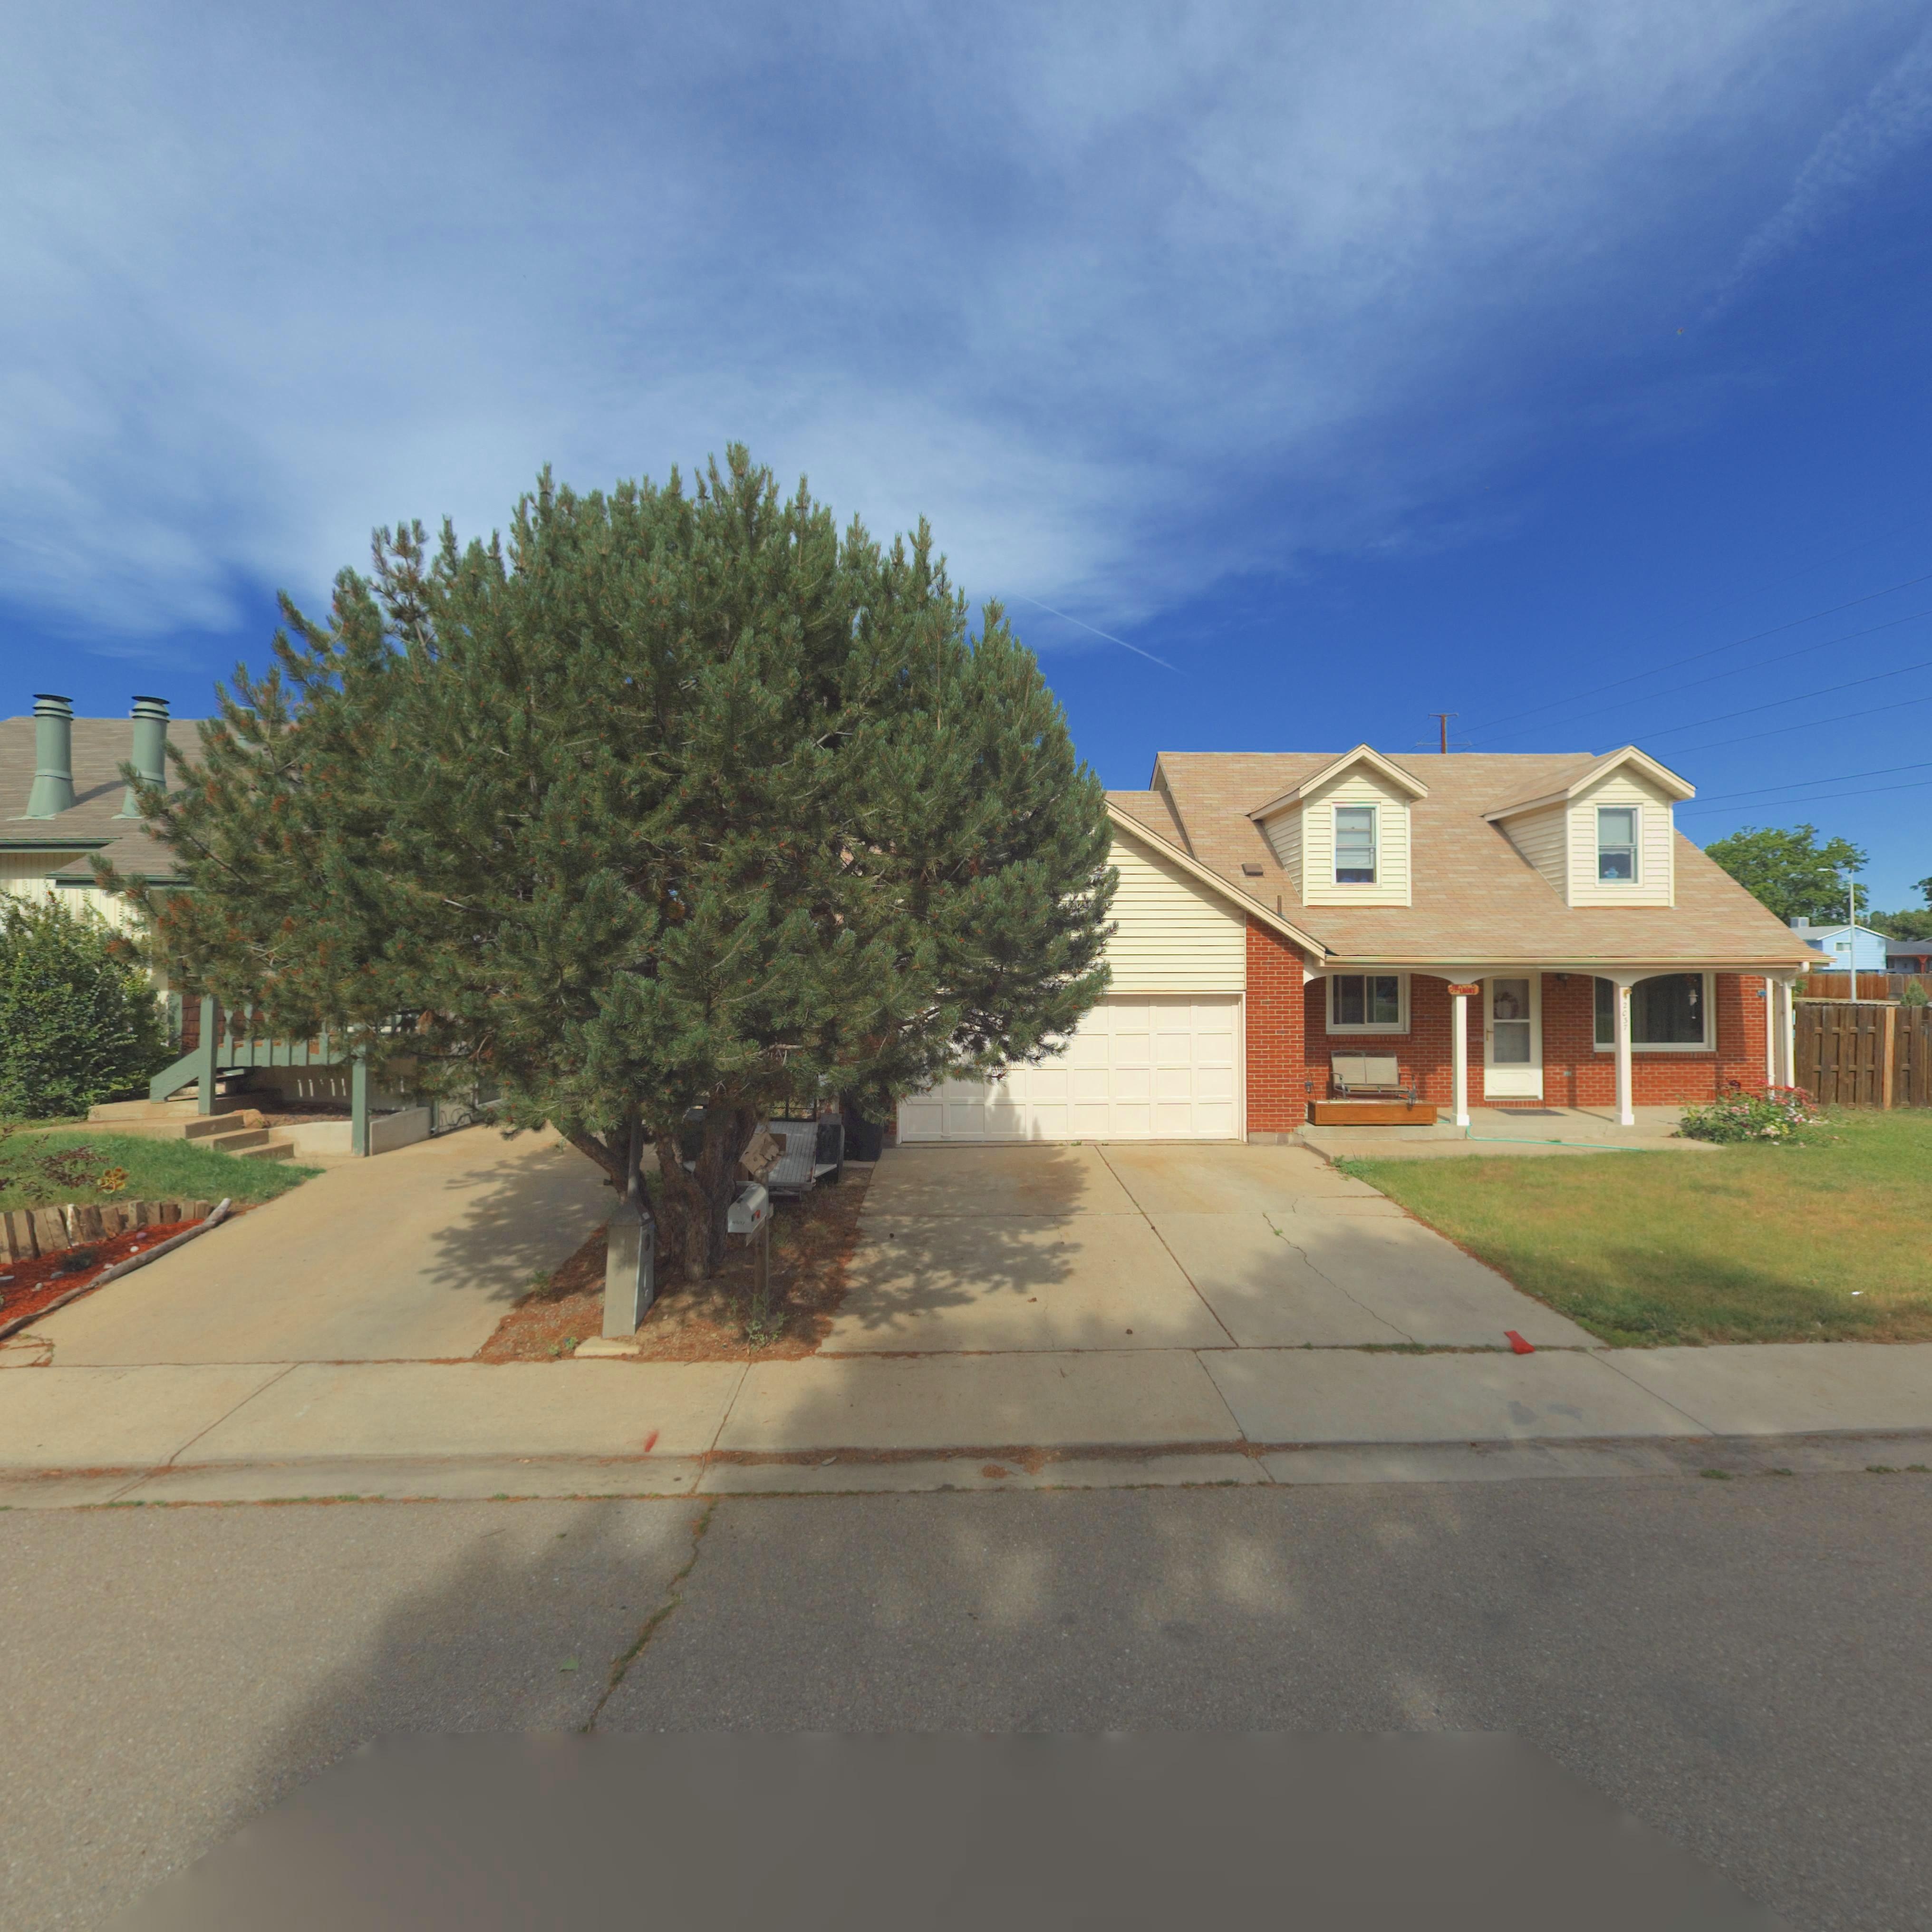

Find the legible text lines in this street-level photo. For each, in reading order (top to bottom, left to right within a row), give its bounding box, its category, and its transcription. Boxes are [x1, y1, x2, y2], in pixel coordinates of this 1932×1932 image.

[1622, 1001, 1628, 1031] StreetNumber: 2037
[732, 1220, 745, 1225] StreetNumber: ***7